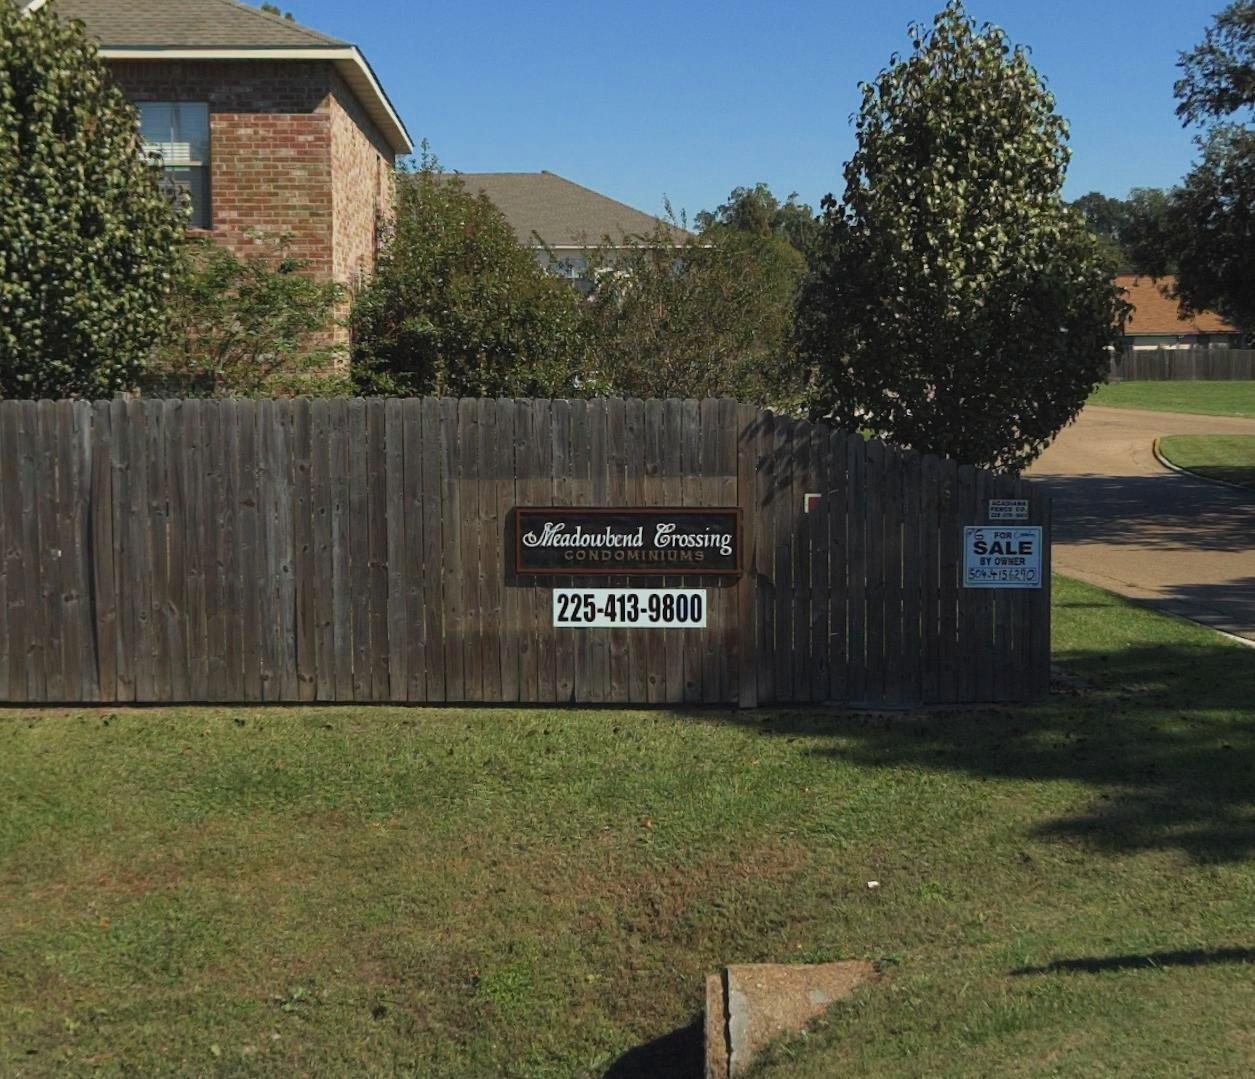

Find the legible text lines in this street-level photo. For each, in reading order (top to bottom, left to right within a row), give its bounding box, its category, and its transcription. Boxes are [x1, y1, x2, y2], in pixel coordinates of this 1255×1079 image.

[989, 506, 1027, 513] None: FENCE CO
[521, 521, 733, 556] BusinessName: Meadowbend Crossing
[993, 531, 1013, 540] None: FOR
[564, 549, 705, 562] BusinessName: CONDOMINIUMS
[978, 556, 1027, 566] None: BY OWNER
[972, 540, 1034, 556] None: SALE
[968, 567, 1035, 582] None: 504-4156290
[556, 593, 703, 623] None: 225-413-9800